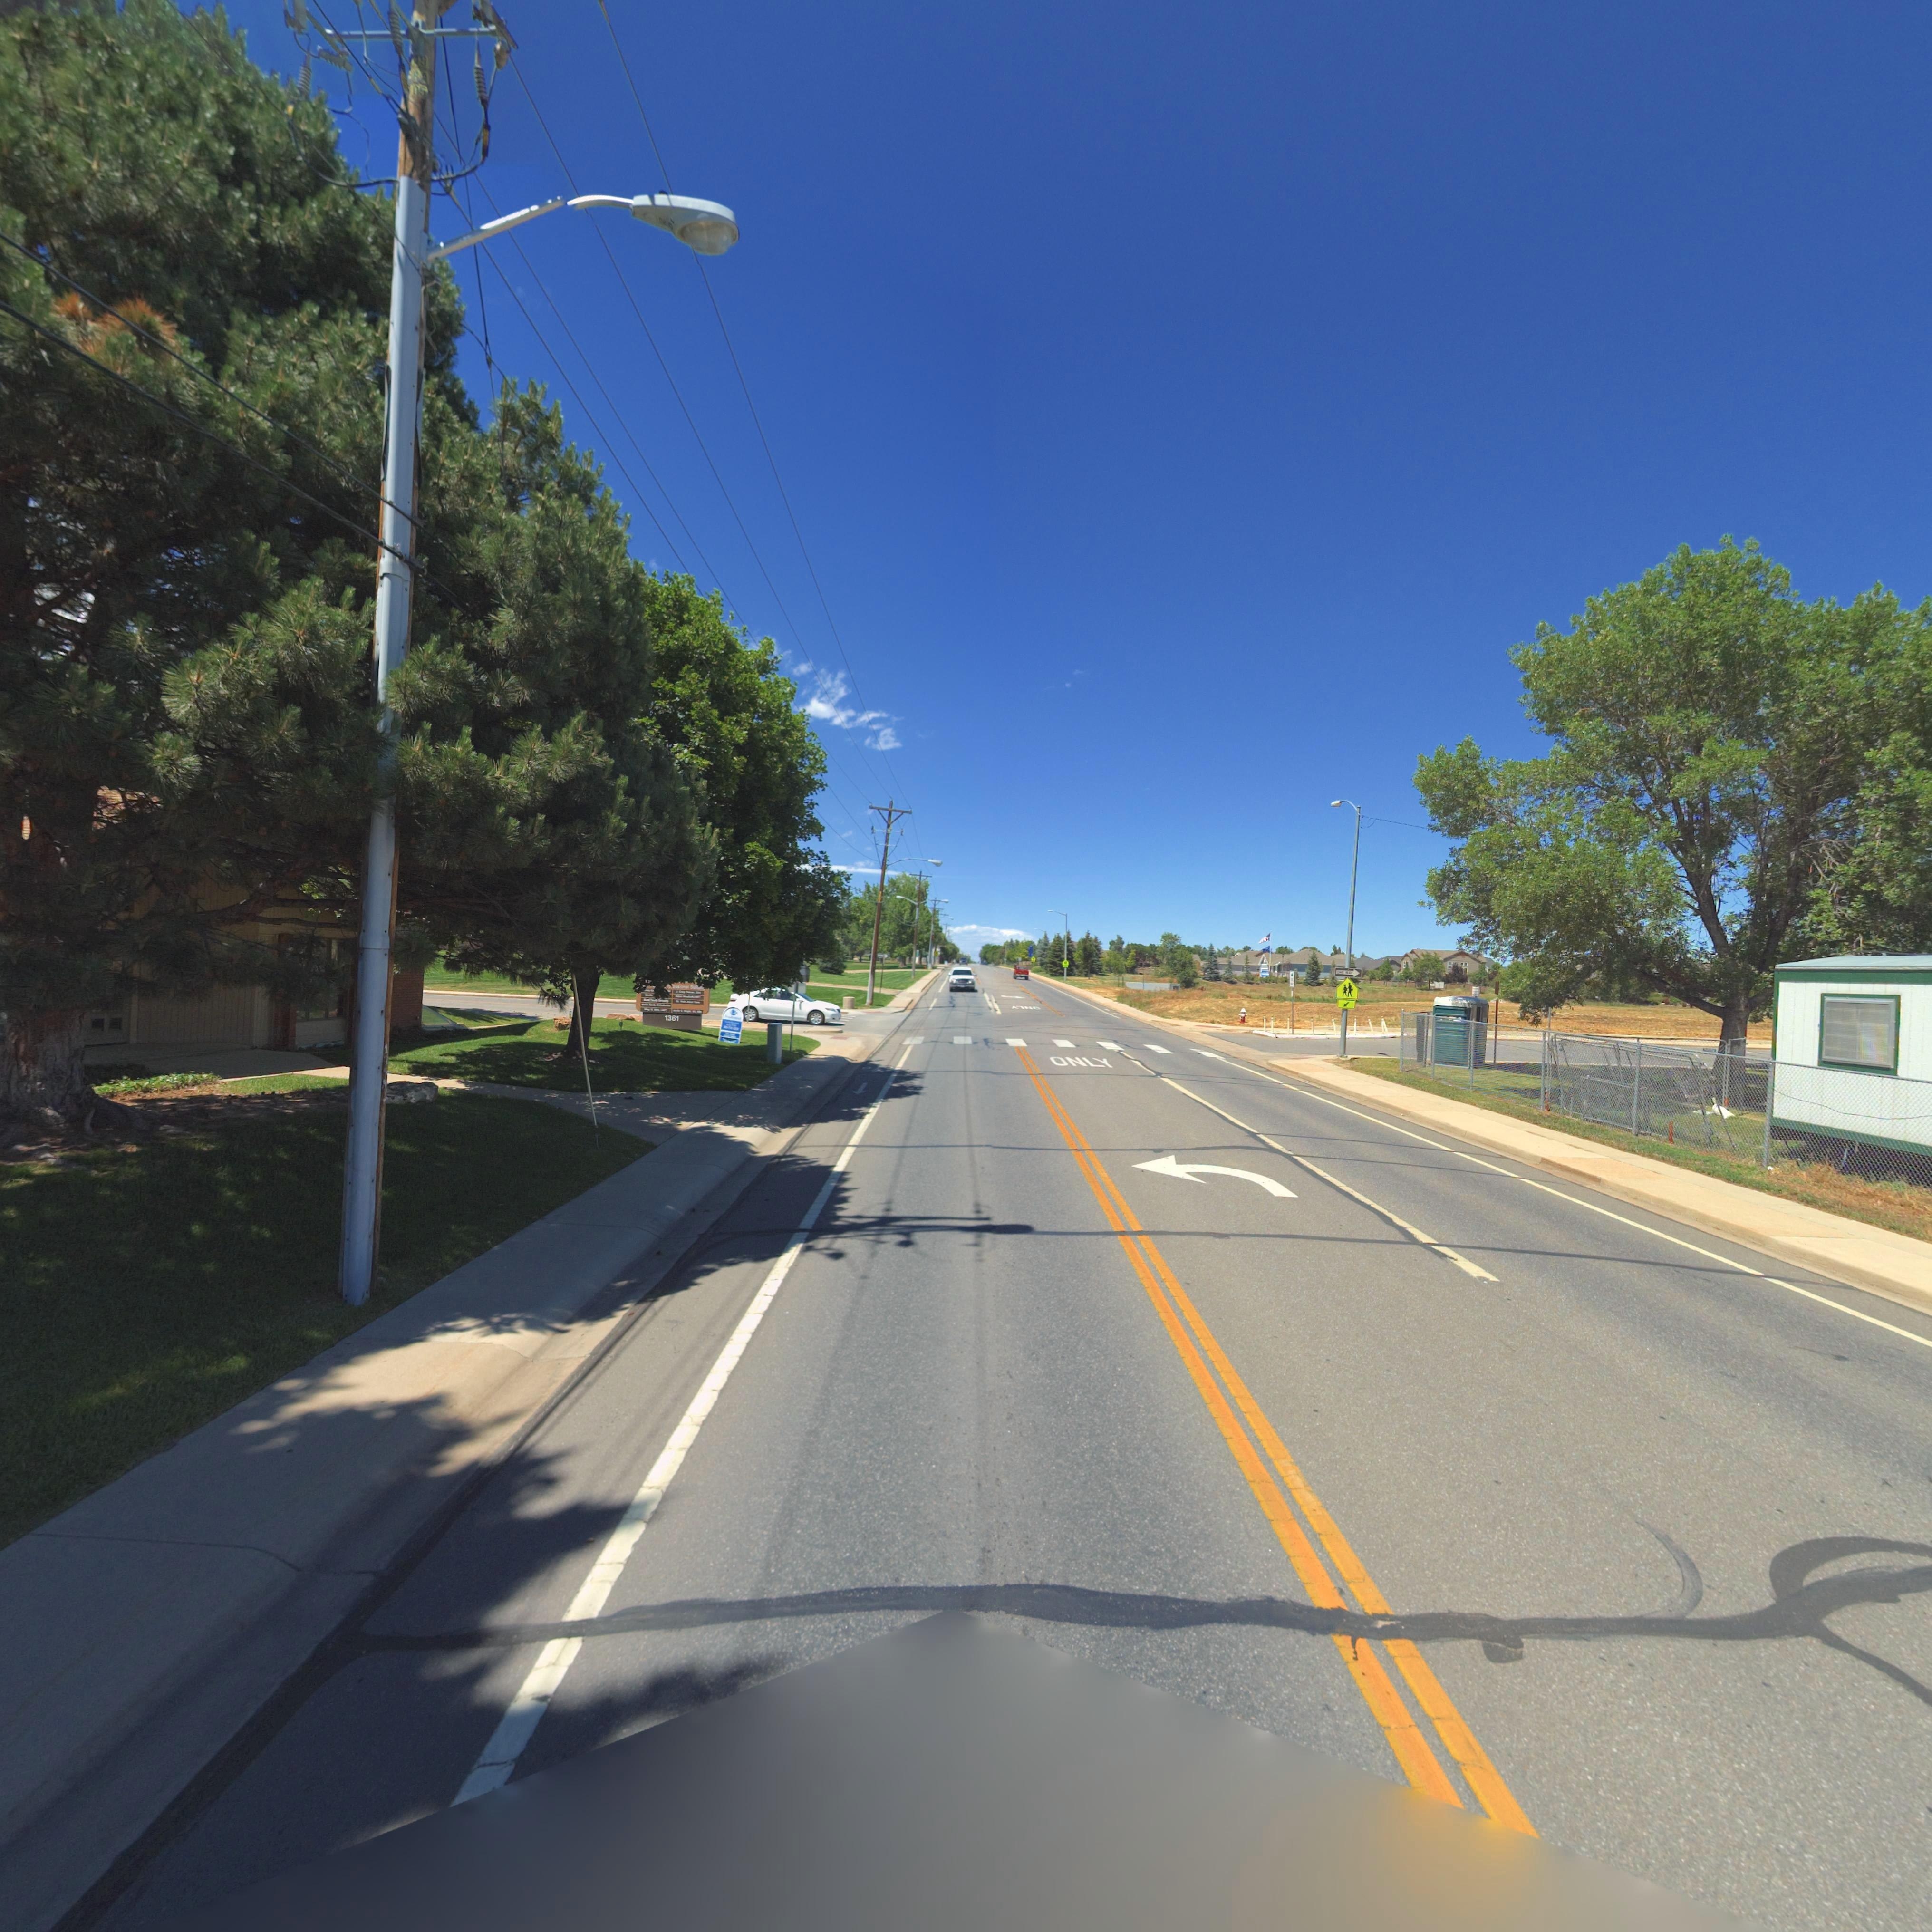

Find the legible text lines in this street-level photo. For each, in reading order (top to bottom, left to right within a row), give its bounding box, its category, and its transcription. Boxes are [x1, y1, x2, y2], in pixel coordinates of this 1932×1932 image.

[664, 1014, 679, 1022] StreetNumber: 1361